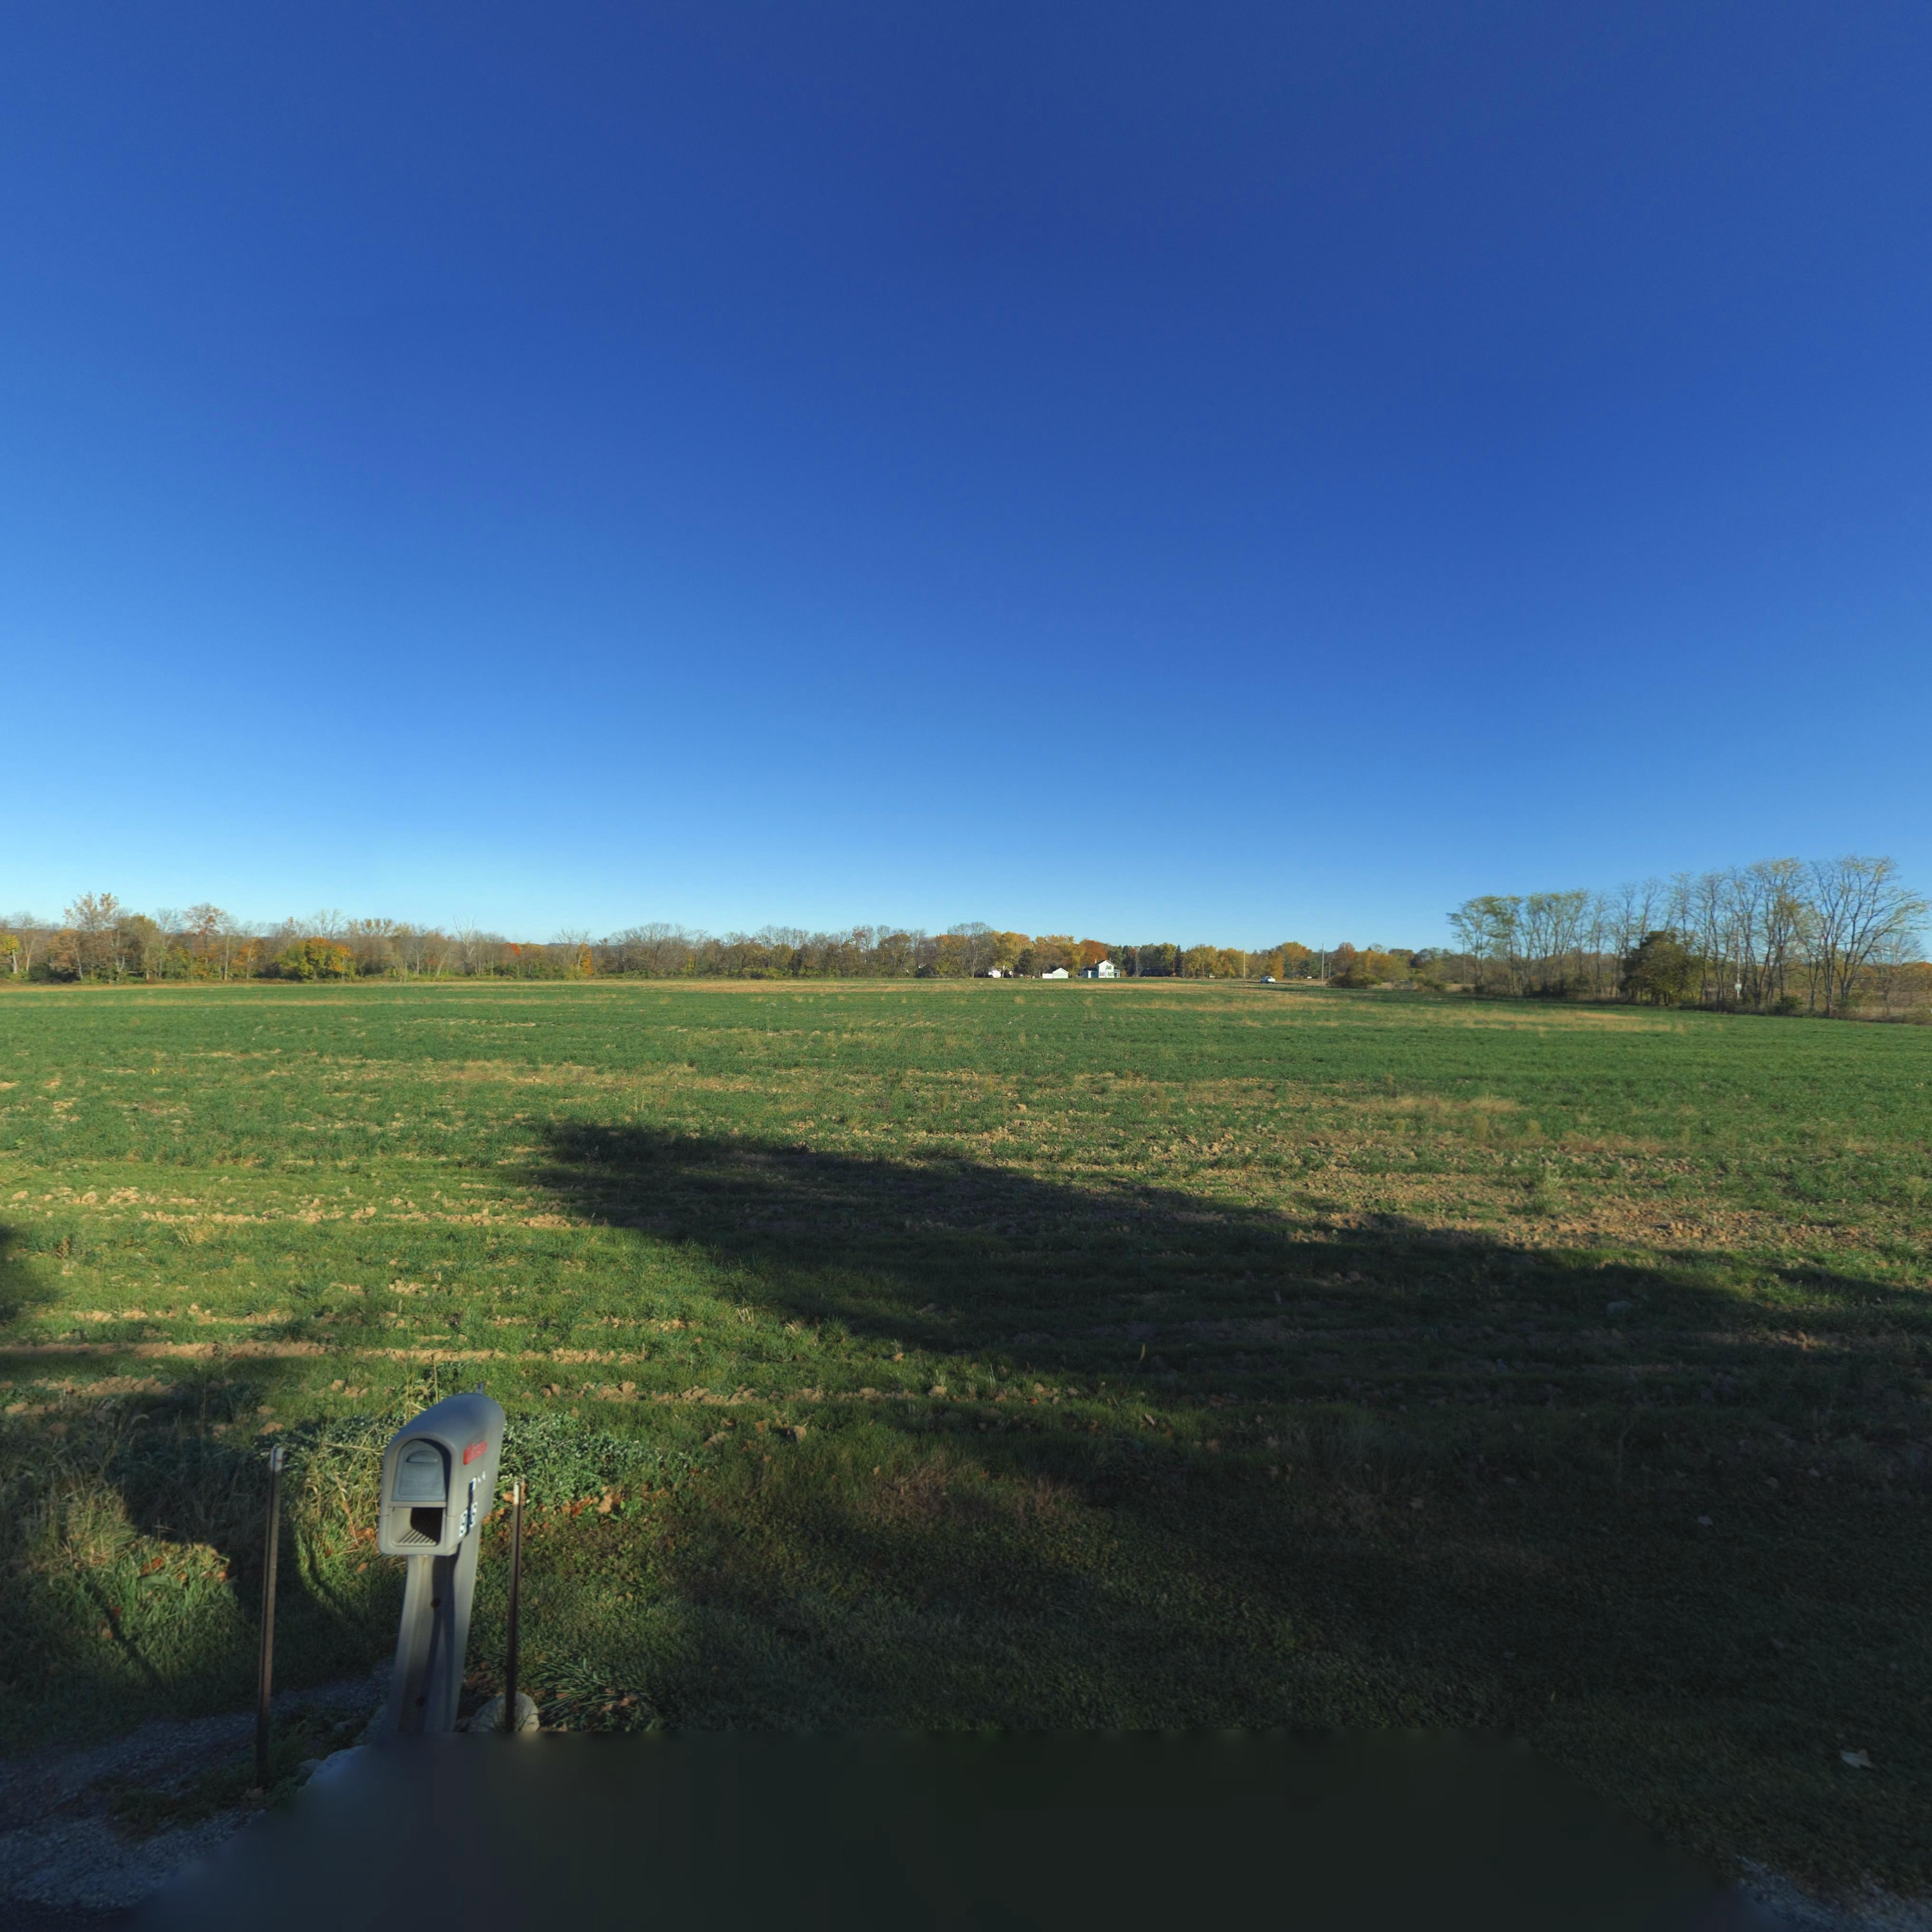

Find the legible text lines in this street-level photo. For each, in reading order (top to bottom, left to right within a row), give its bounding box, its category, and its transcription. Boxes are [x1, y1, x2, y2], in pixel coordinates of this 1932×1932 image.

[459, 1501, 478, 1536] StreetNumber: 9*6